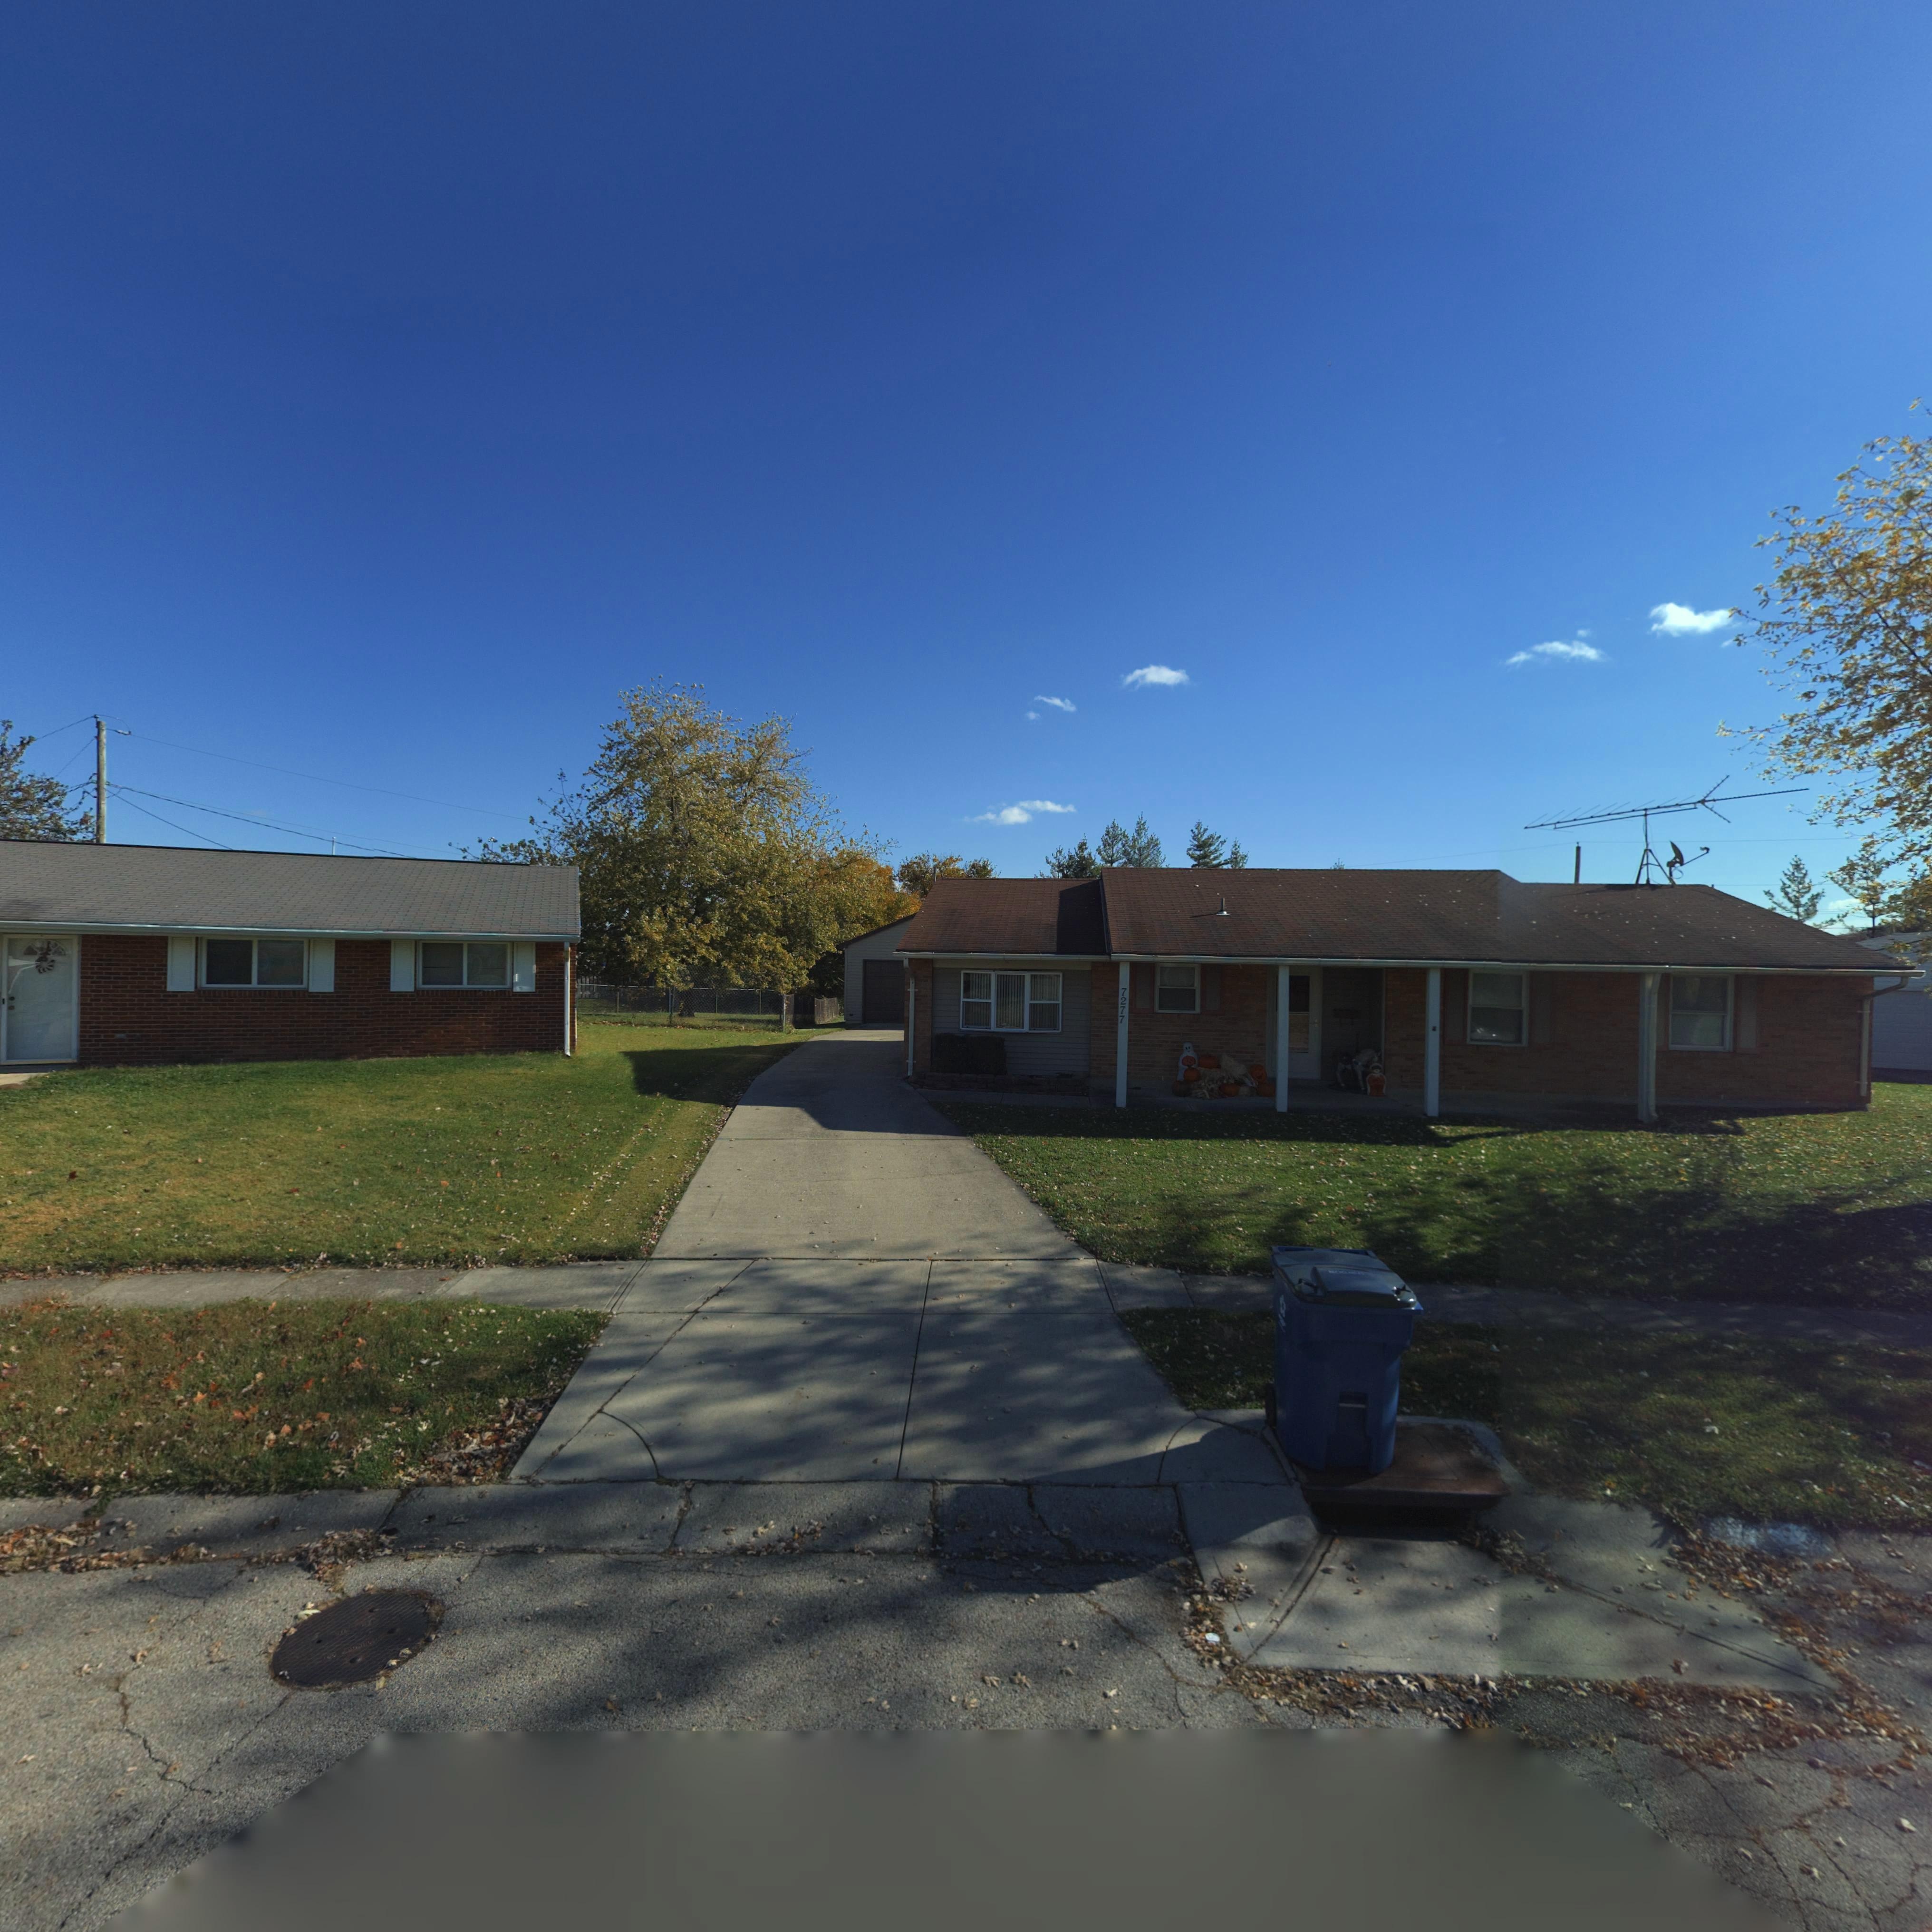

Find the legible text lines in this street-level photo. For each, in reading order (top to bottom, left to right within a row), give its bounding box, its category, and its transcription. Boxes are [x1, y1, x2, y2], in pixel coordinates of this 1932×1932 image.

[1118, 987, 1128, 1024] StreetNumber: 7277